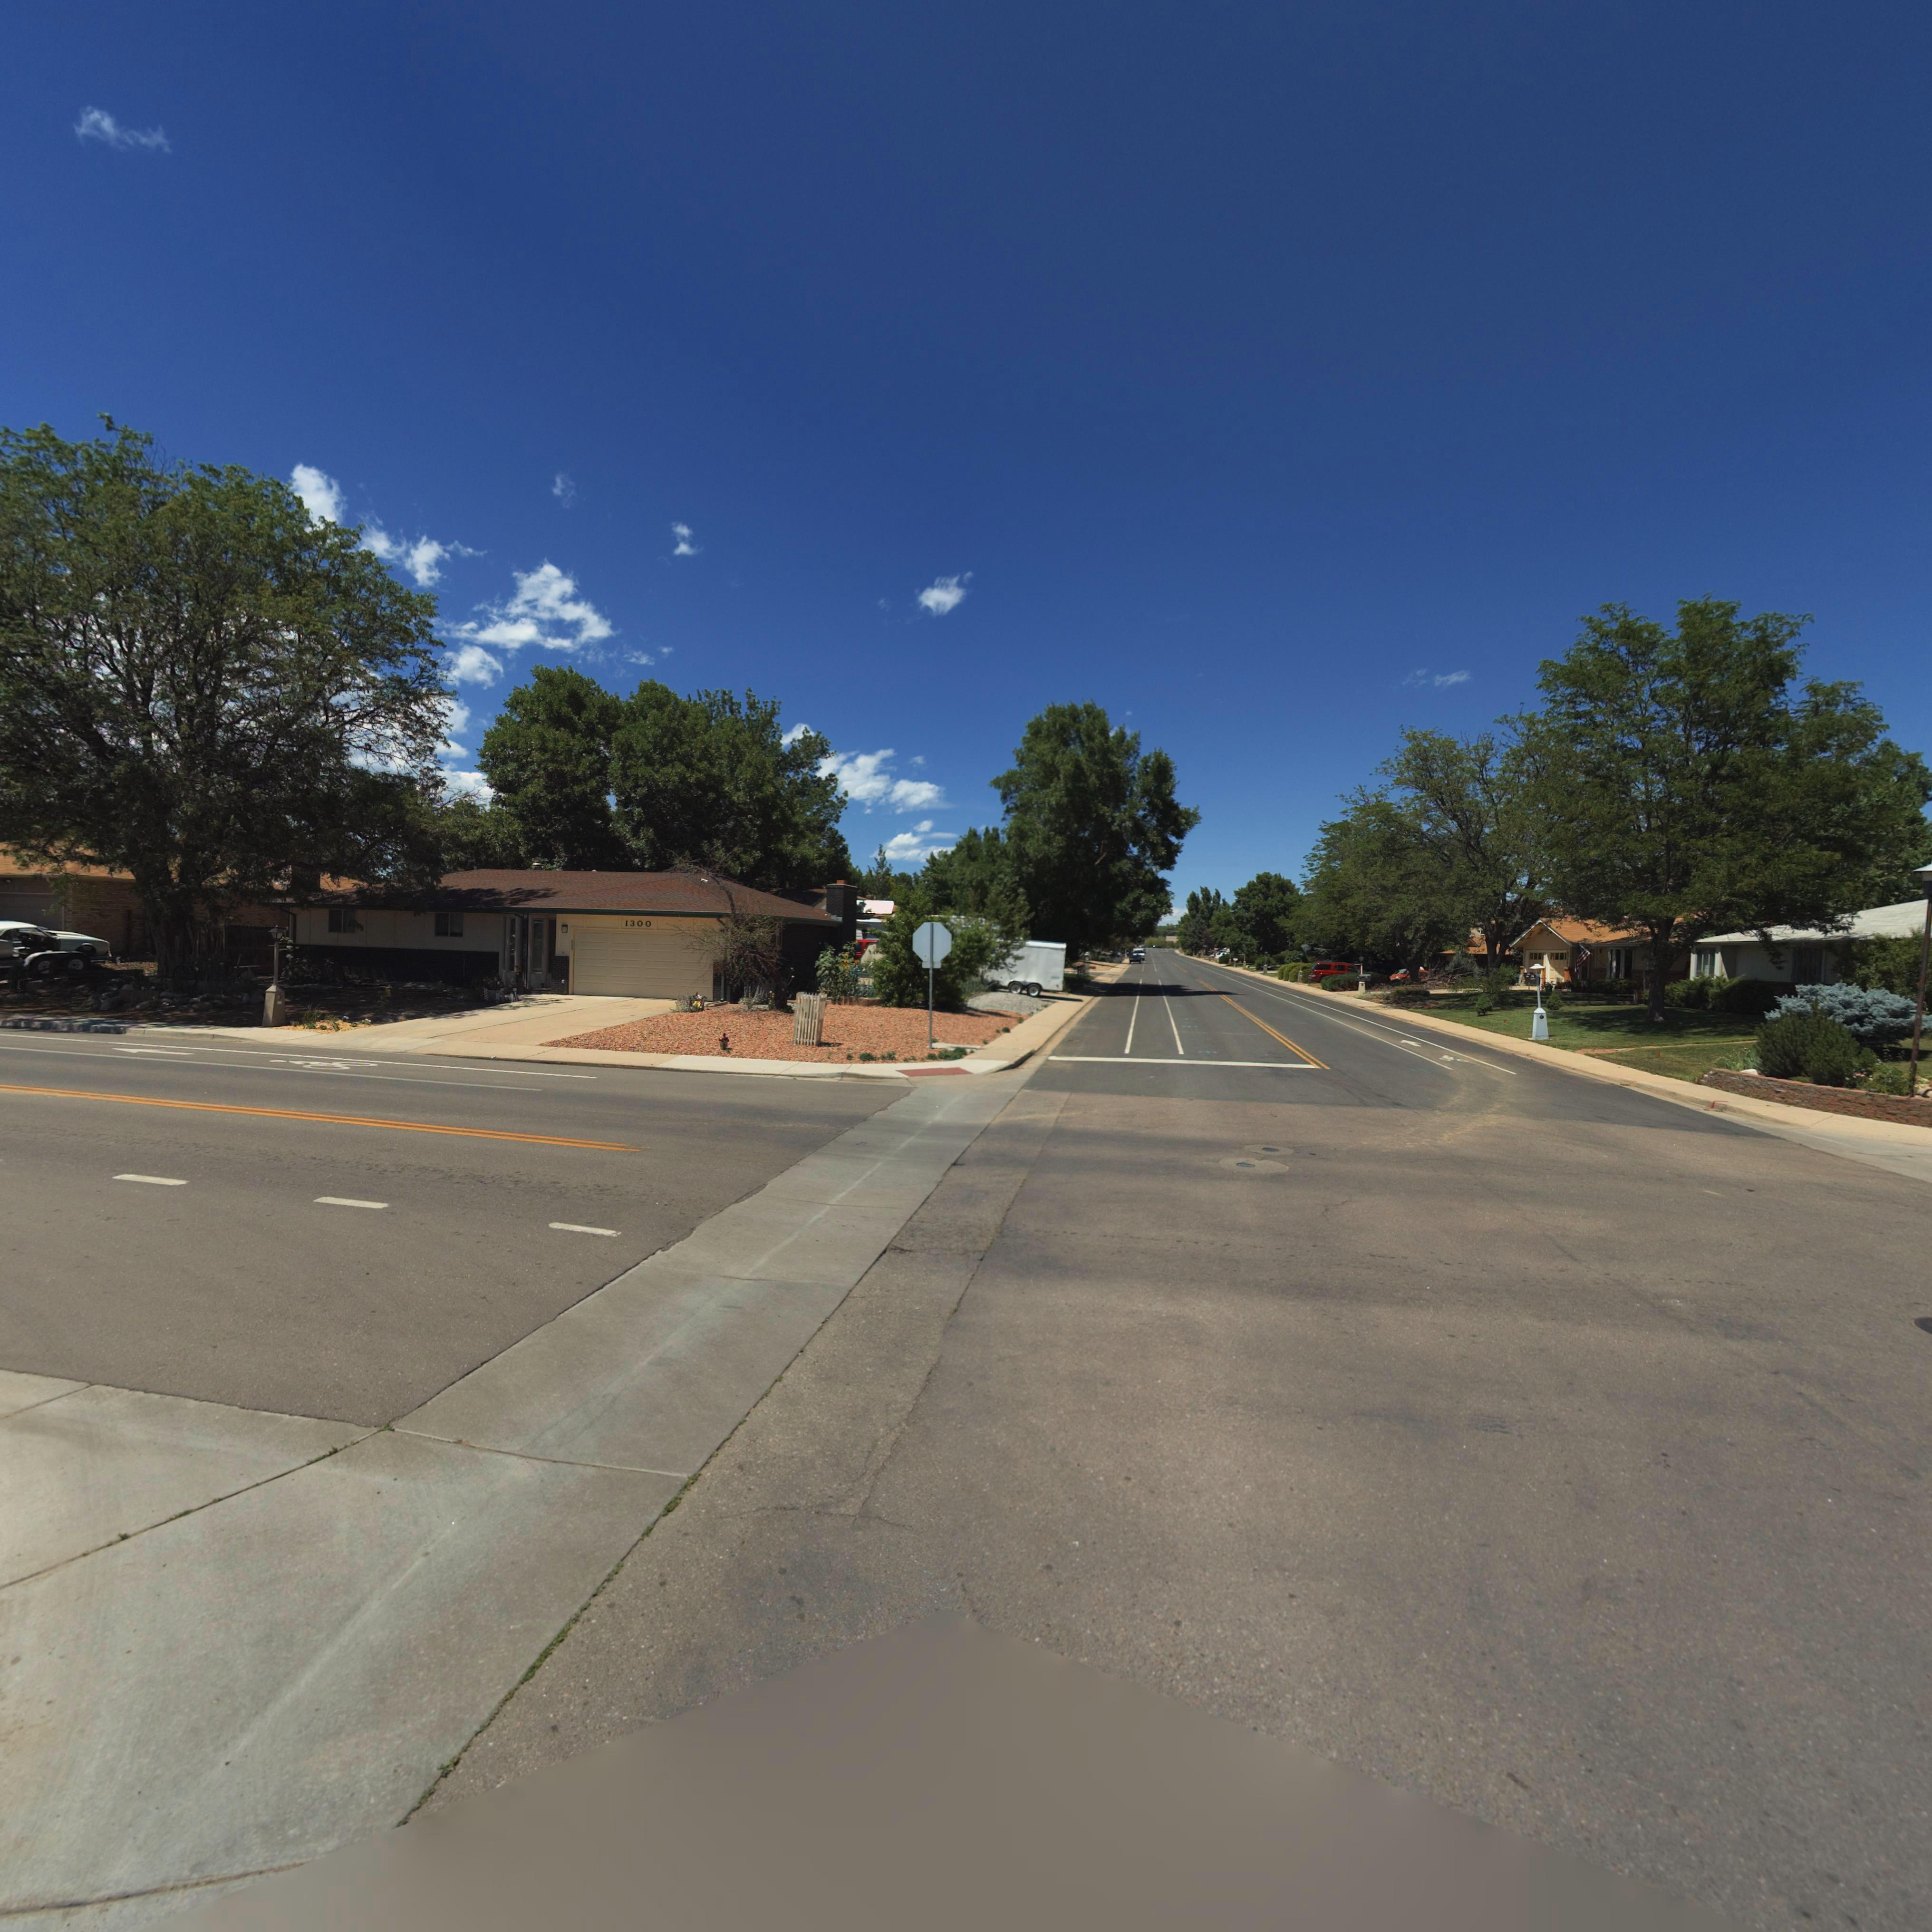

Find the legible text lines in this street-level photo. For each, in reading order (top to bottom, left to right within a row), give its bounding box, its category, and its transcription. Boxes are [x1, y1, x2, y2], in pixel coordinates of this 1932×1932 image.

[625, 919, 652, 927] StreetNumber: 1300